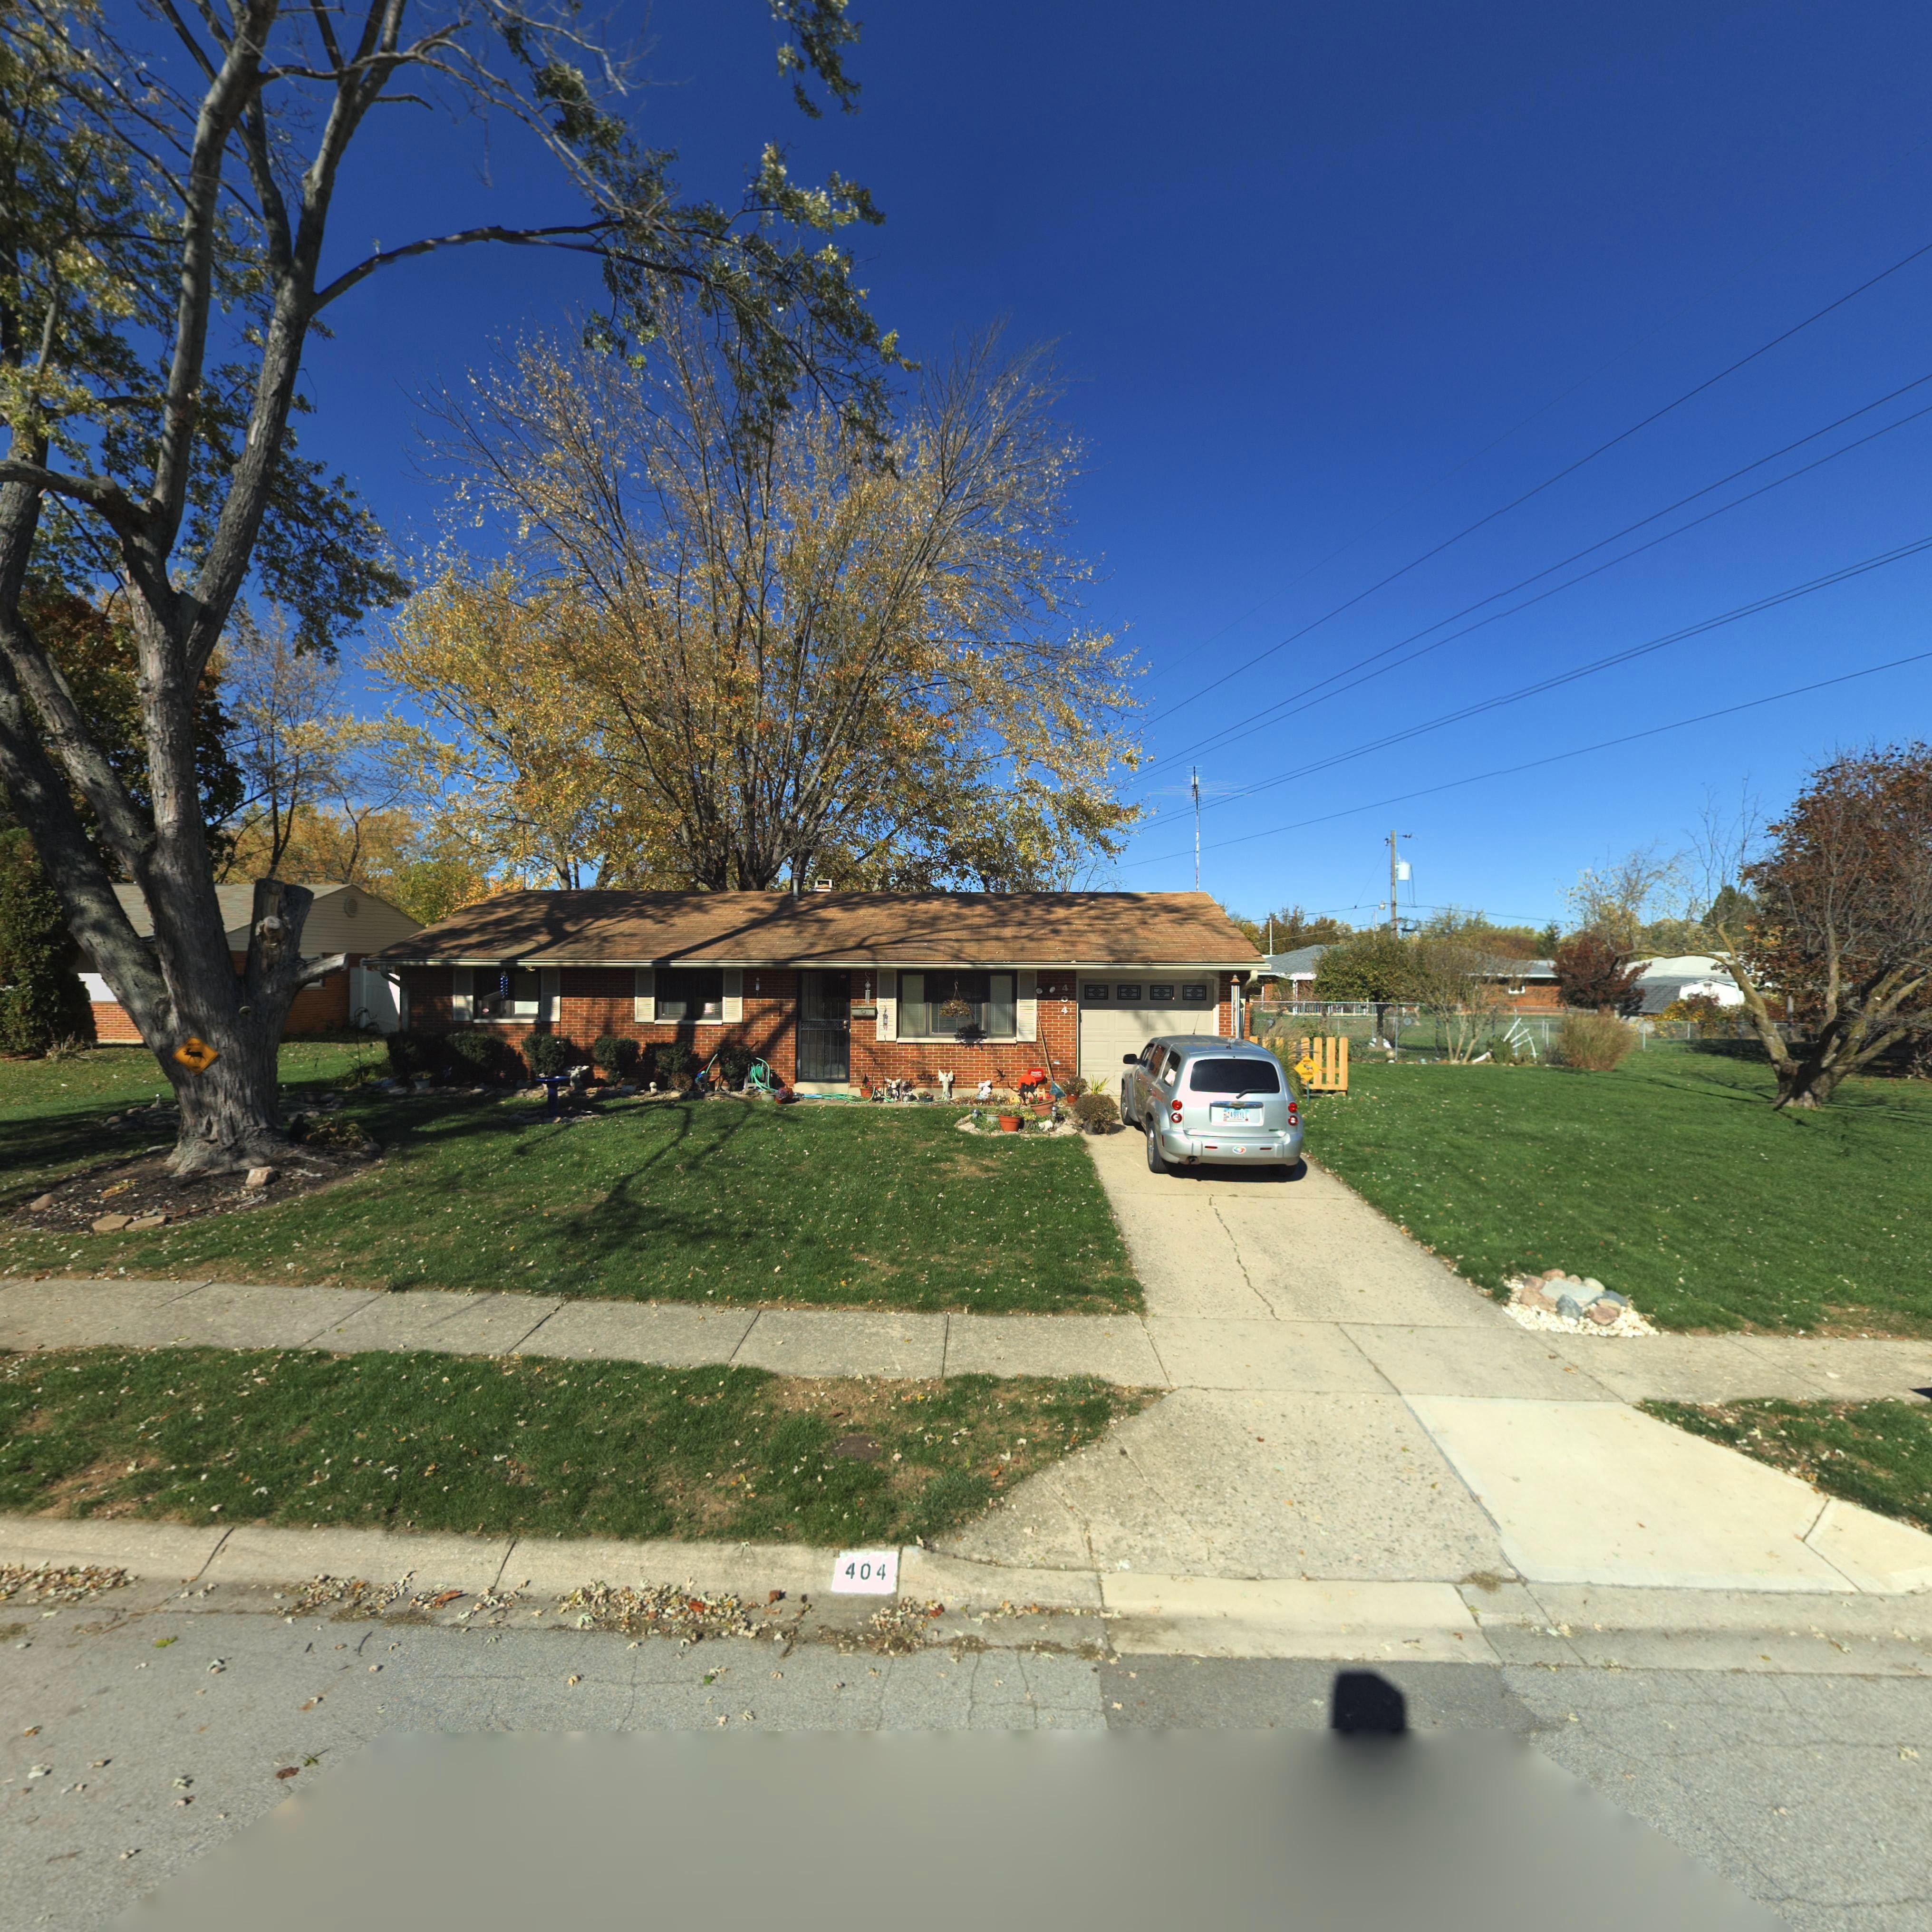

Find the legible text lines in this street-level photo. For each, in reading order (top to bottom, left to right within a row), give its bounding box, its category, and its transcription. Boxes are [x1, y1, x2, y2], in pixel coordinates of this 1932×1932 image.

[1060, 983, 1070, 1015] StreetNumber: 404
[843, 1560, 888, 1582] StreetNumber: 404